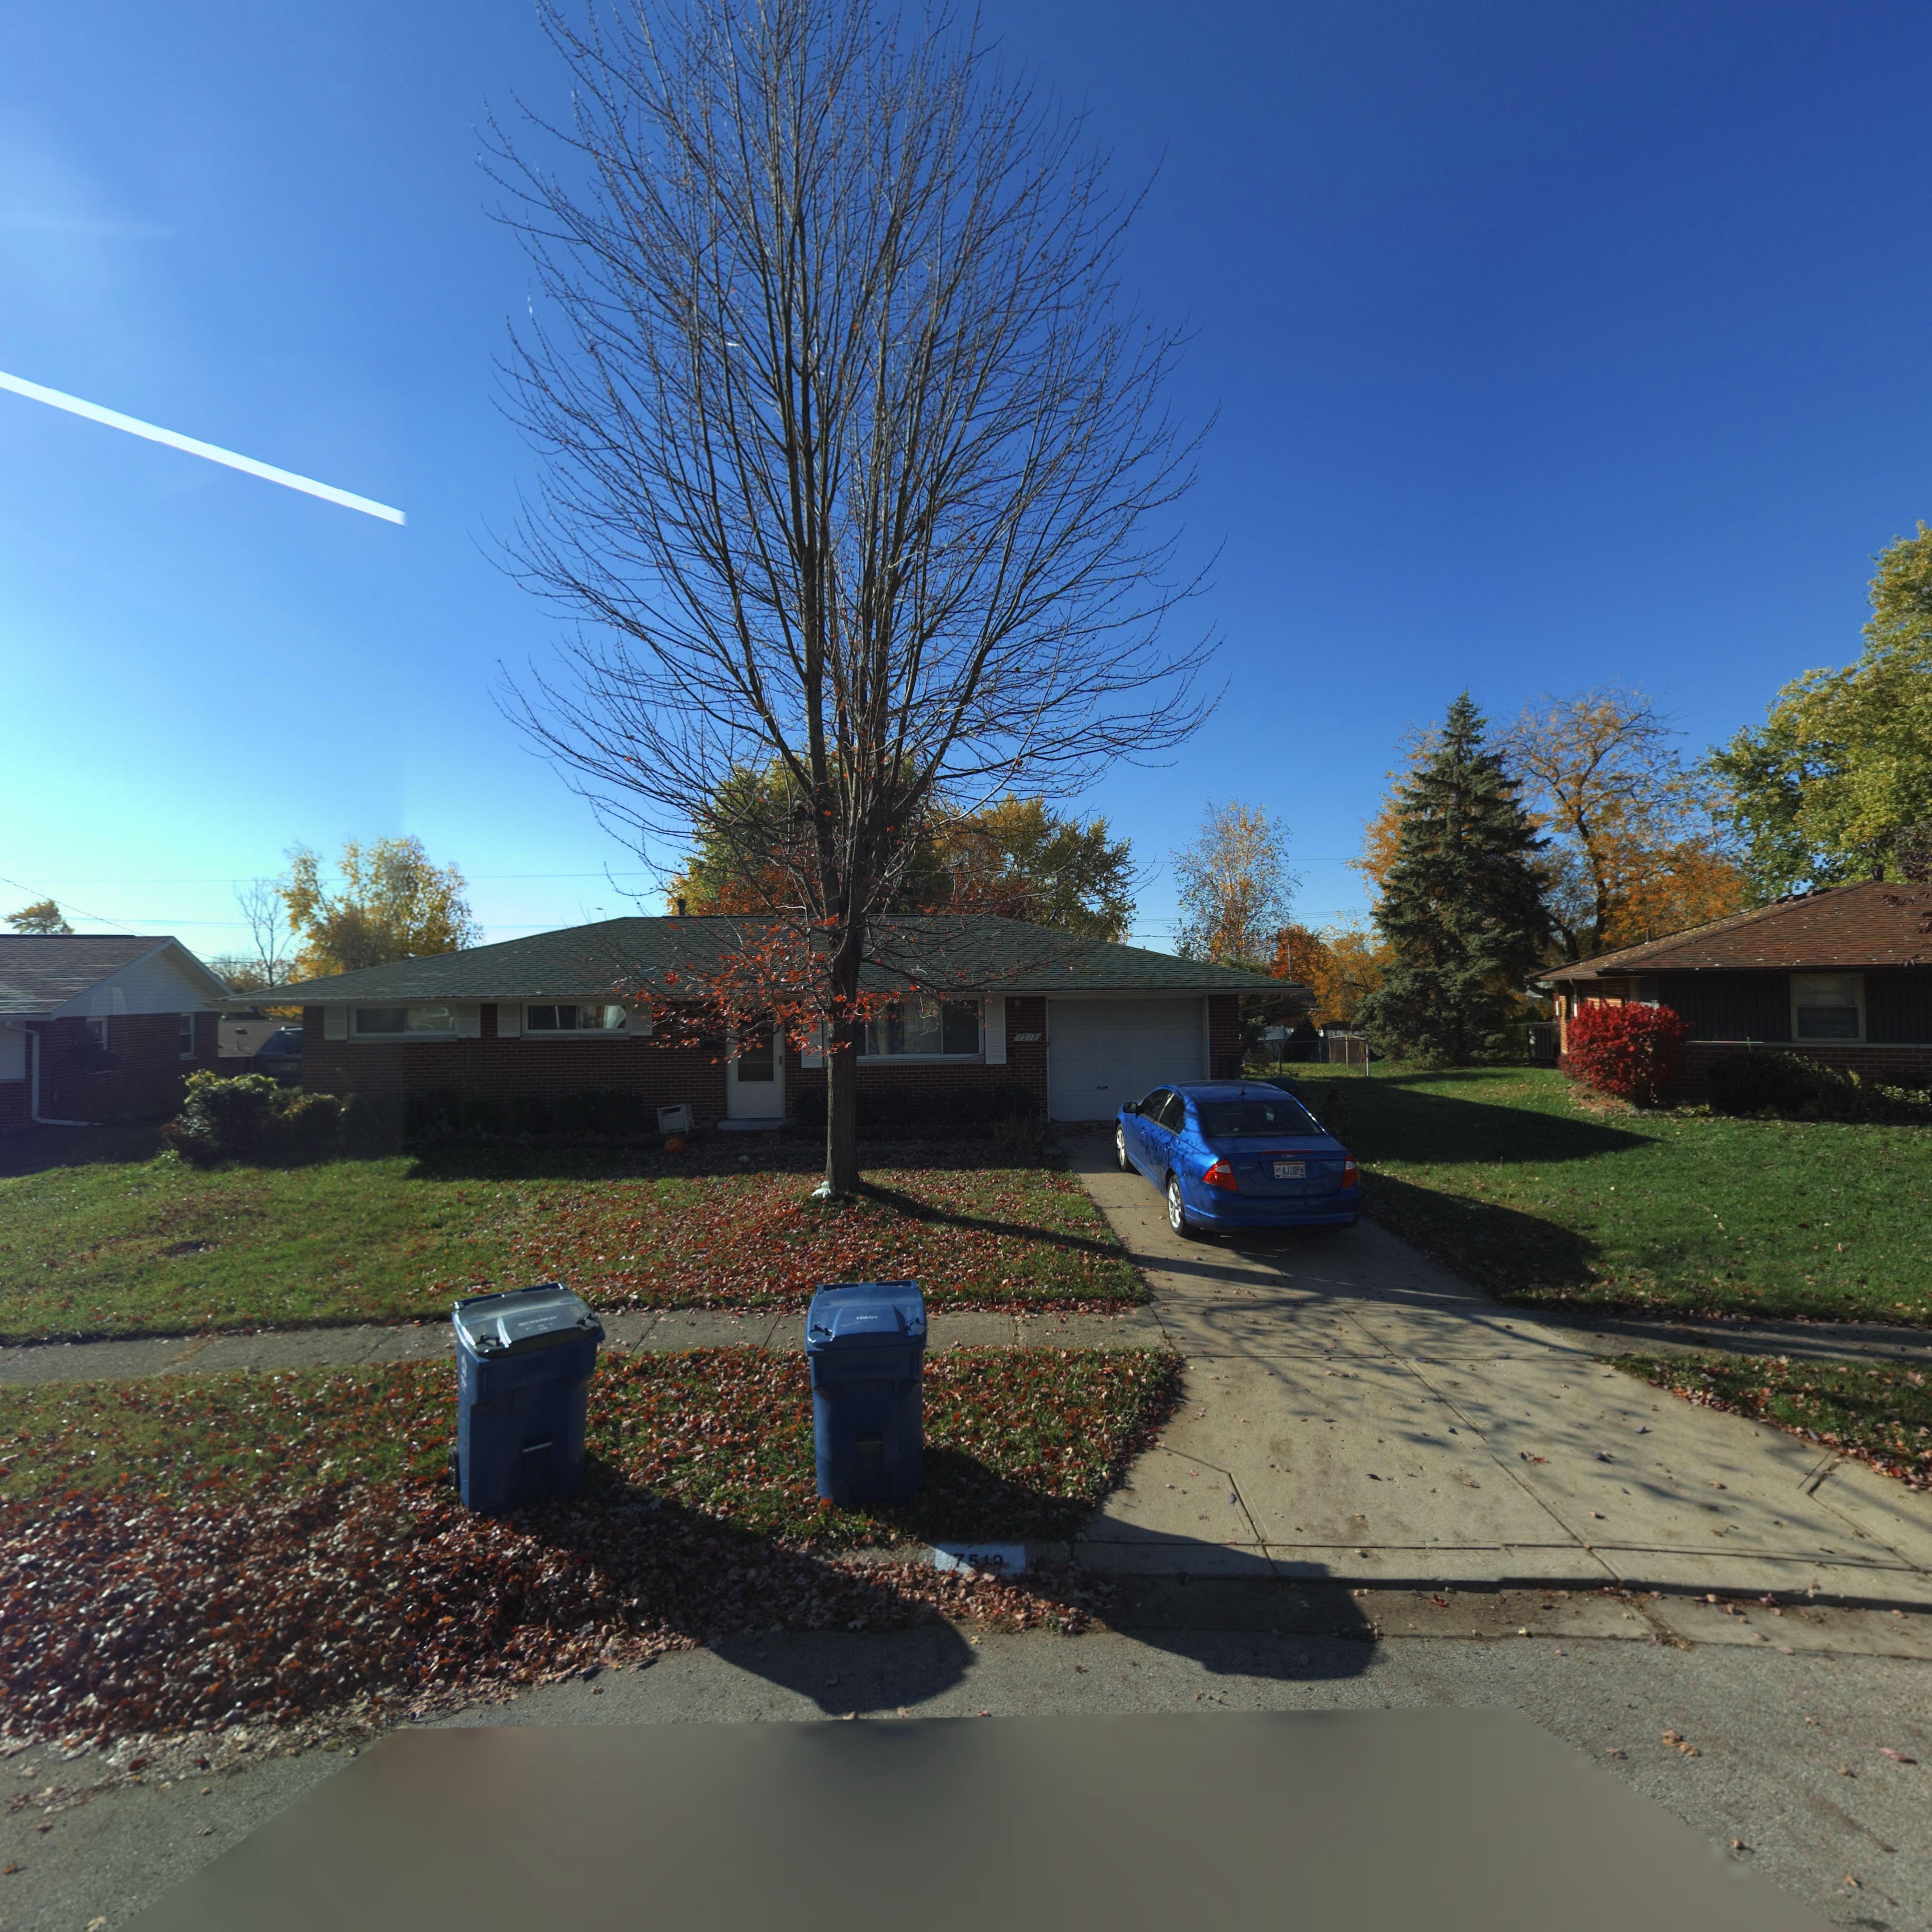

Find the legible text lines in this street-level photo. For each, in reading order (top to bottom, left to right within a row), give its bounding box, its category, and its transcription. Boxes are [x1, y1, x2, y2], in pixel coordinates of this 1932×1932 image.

[1017, 1033, 1039, 1041] StreetNumber: 7519
[952, 1552, 1005, 1572] StreetNumber: 75**